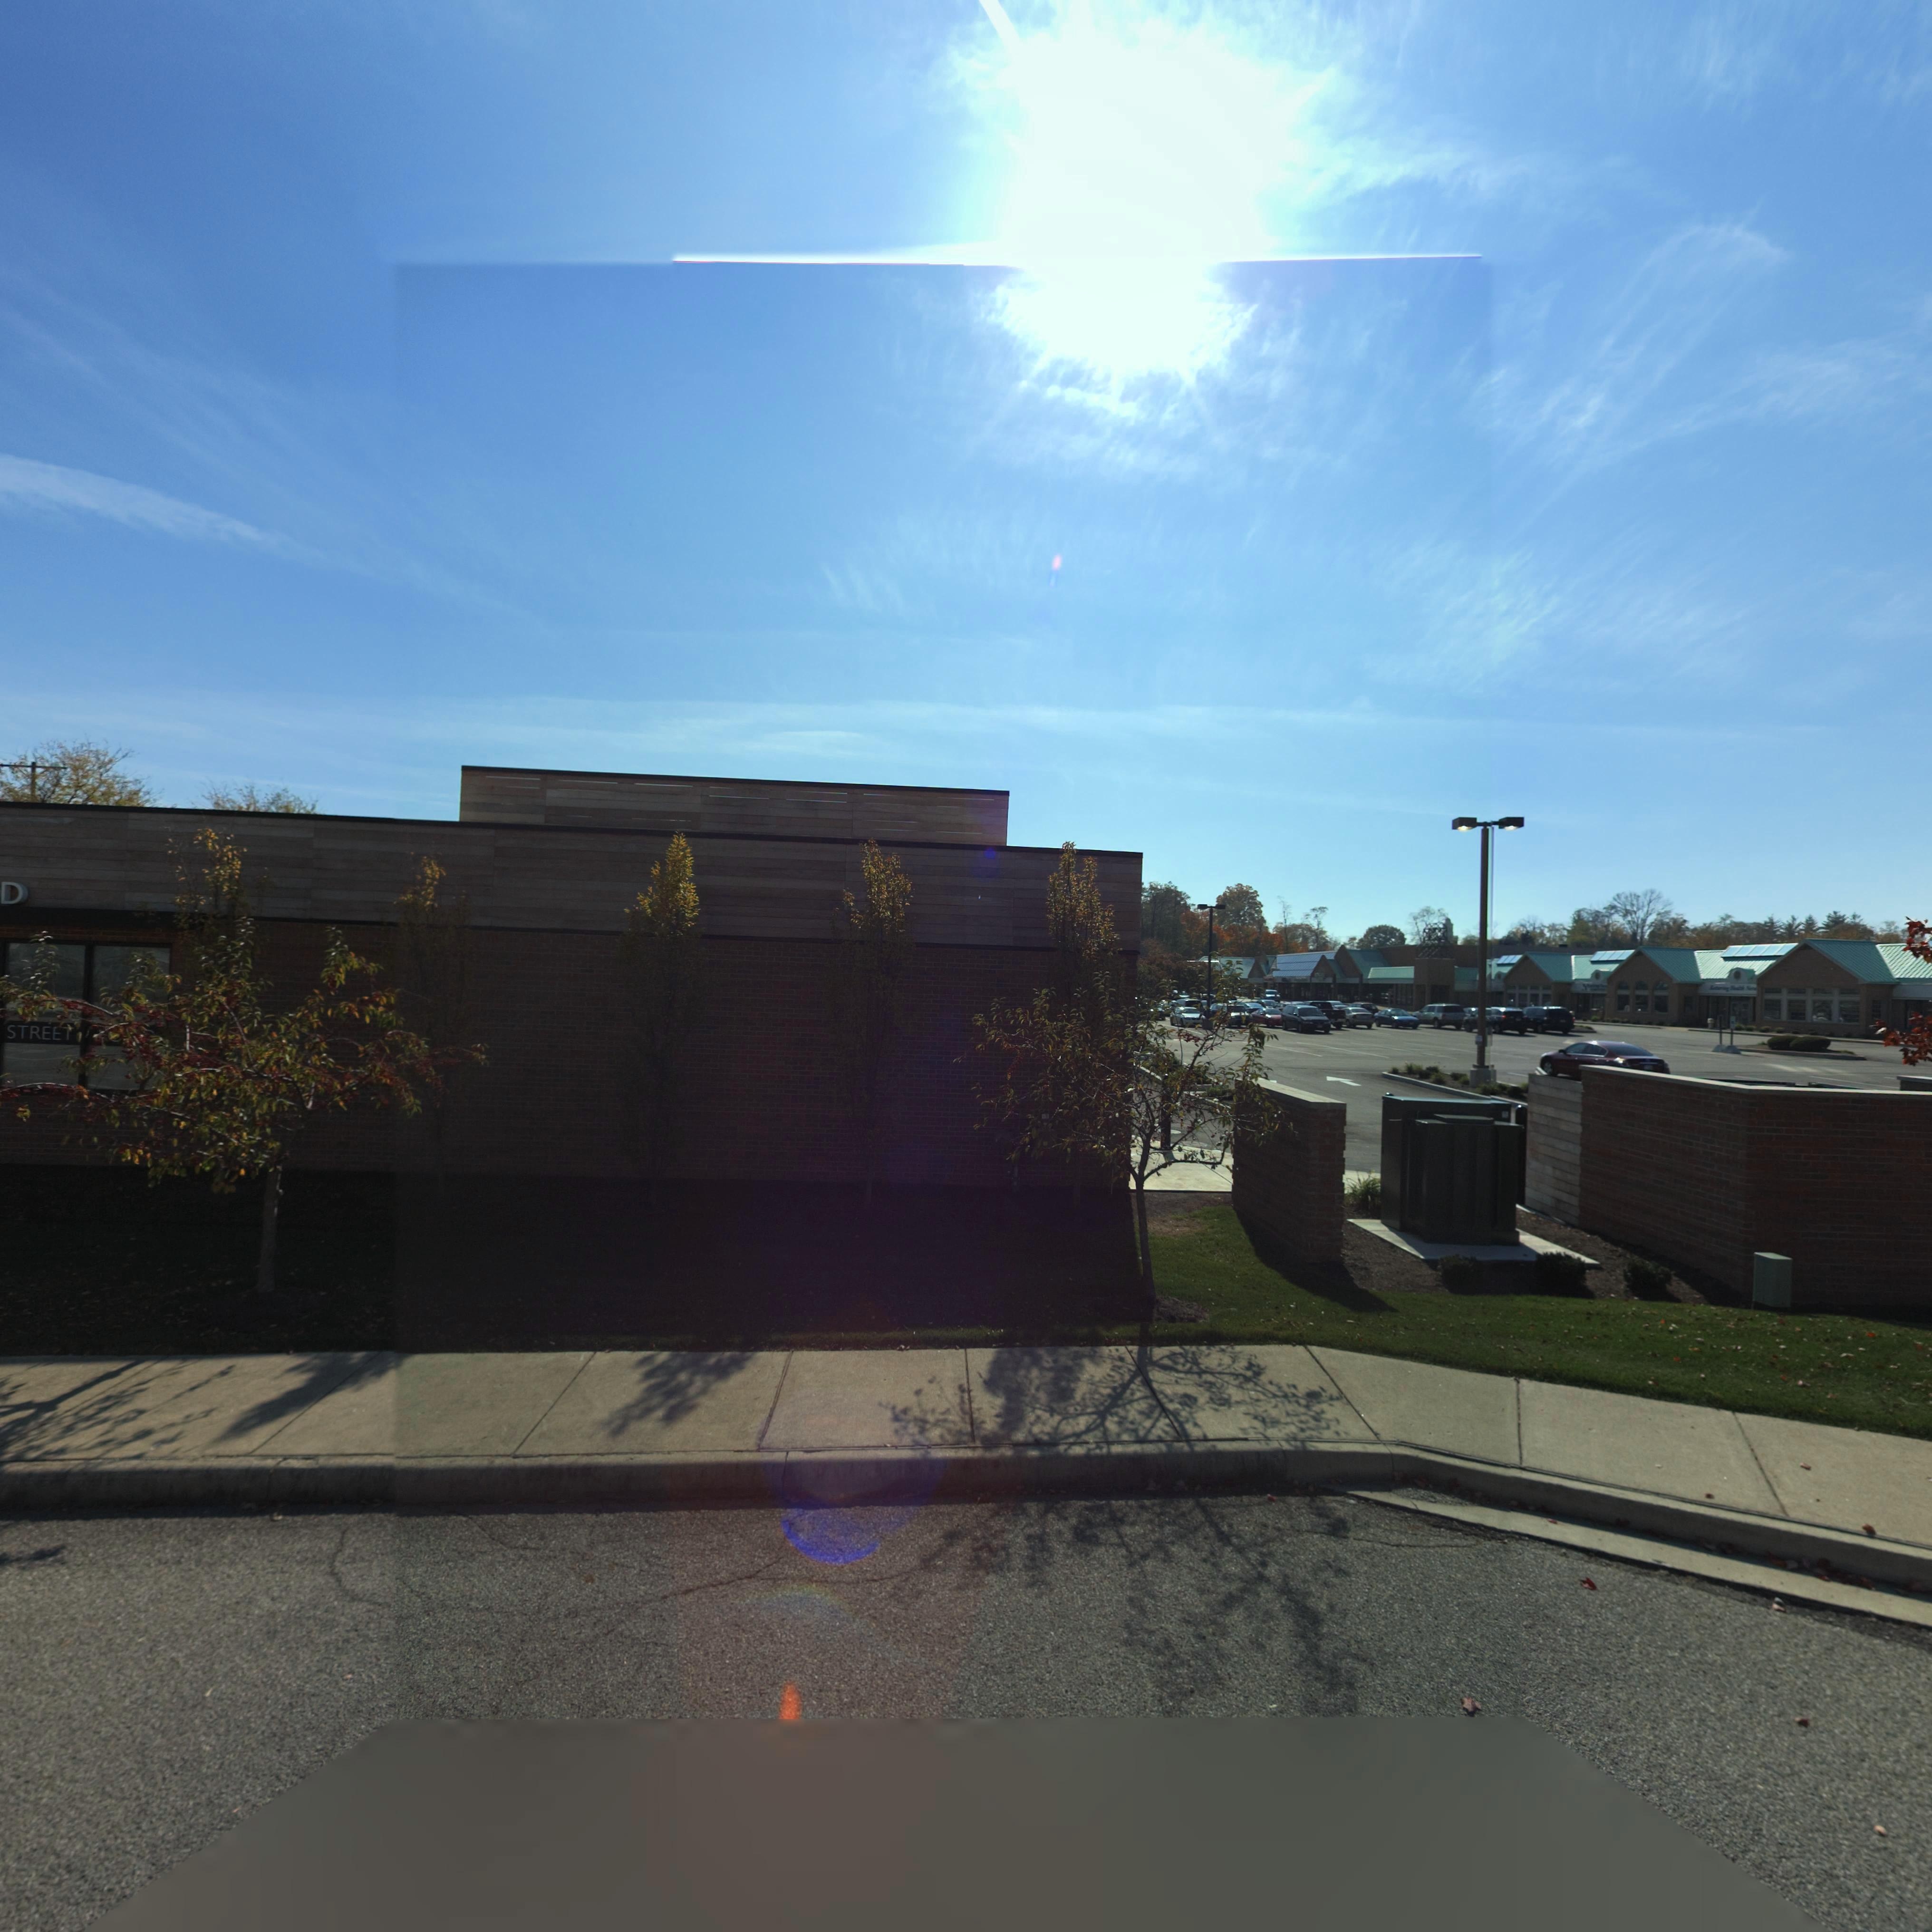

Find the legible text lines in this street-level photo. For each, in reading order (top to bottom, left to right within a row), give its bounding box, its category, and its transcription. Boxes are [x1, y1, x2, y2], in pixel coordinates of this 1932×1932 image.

[0, 881, 25, 905] BusinessName: D
[6, 1023, 75, 1042] BusinessName: STRE**